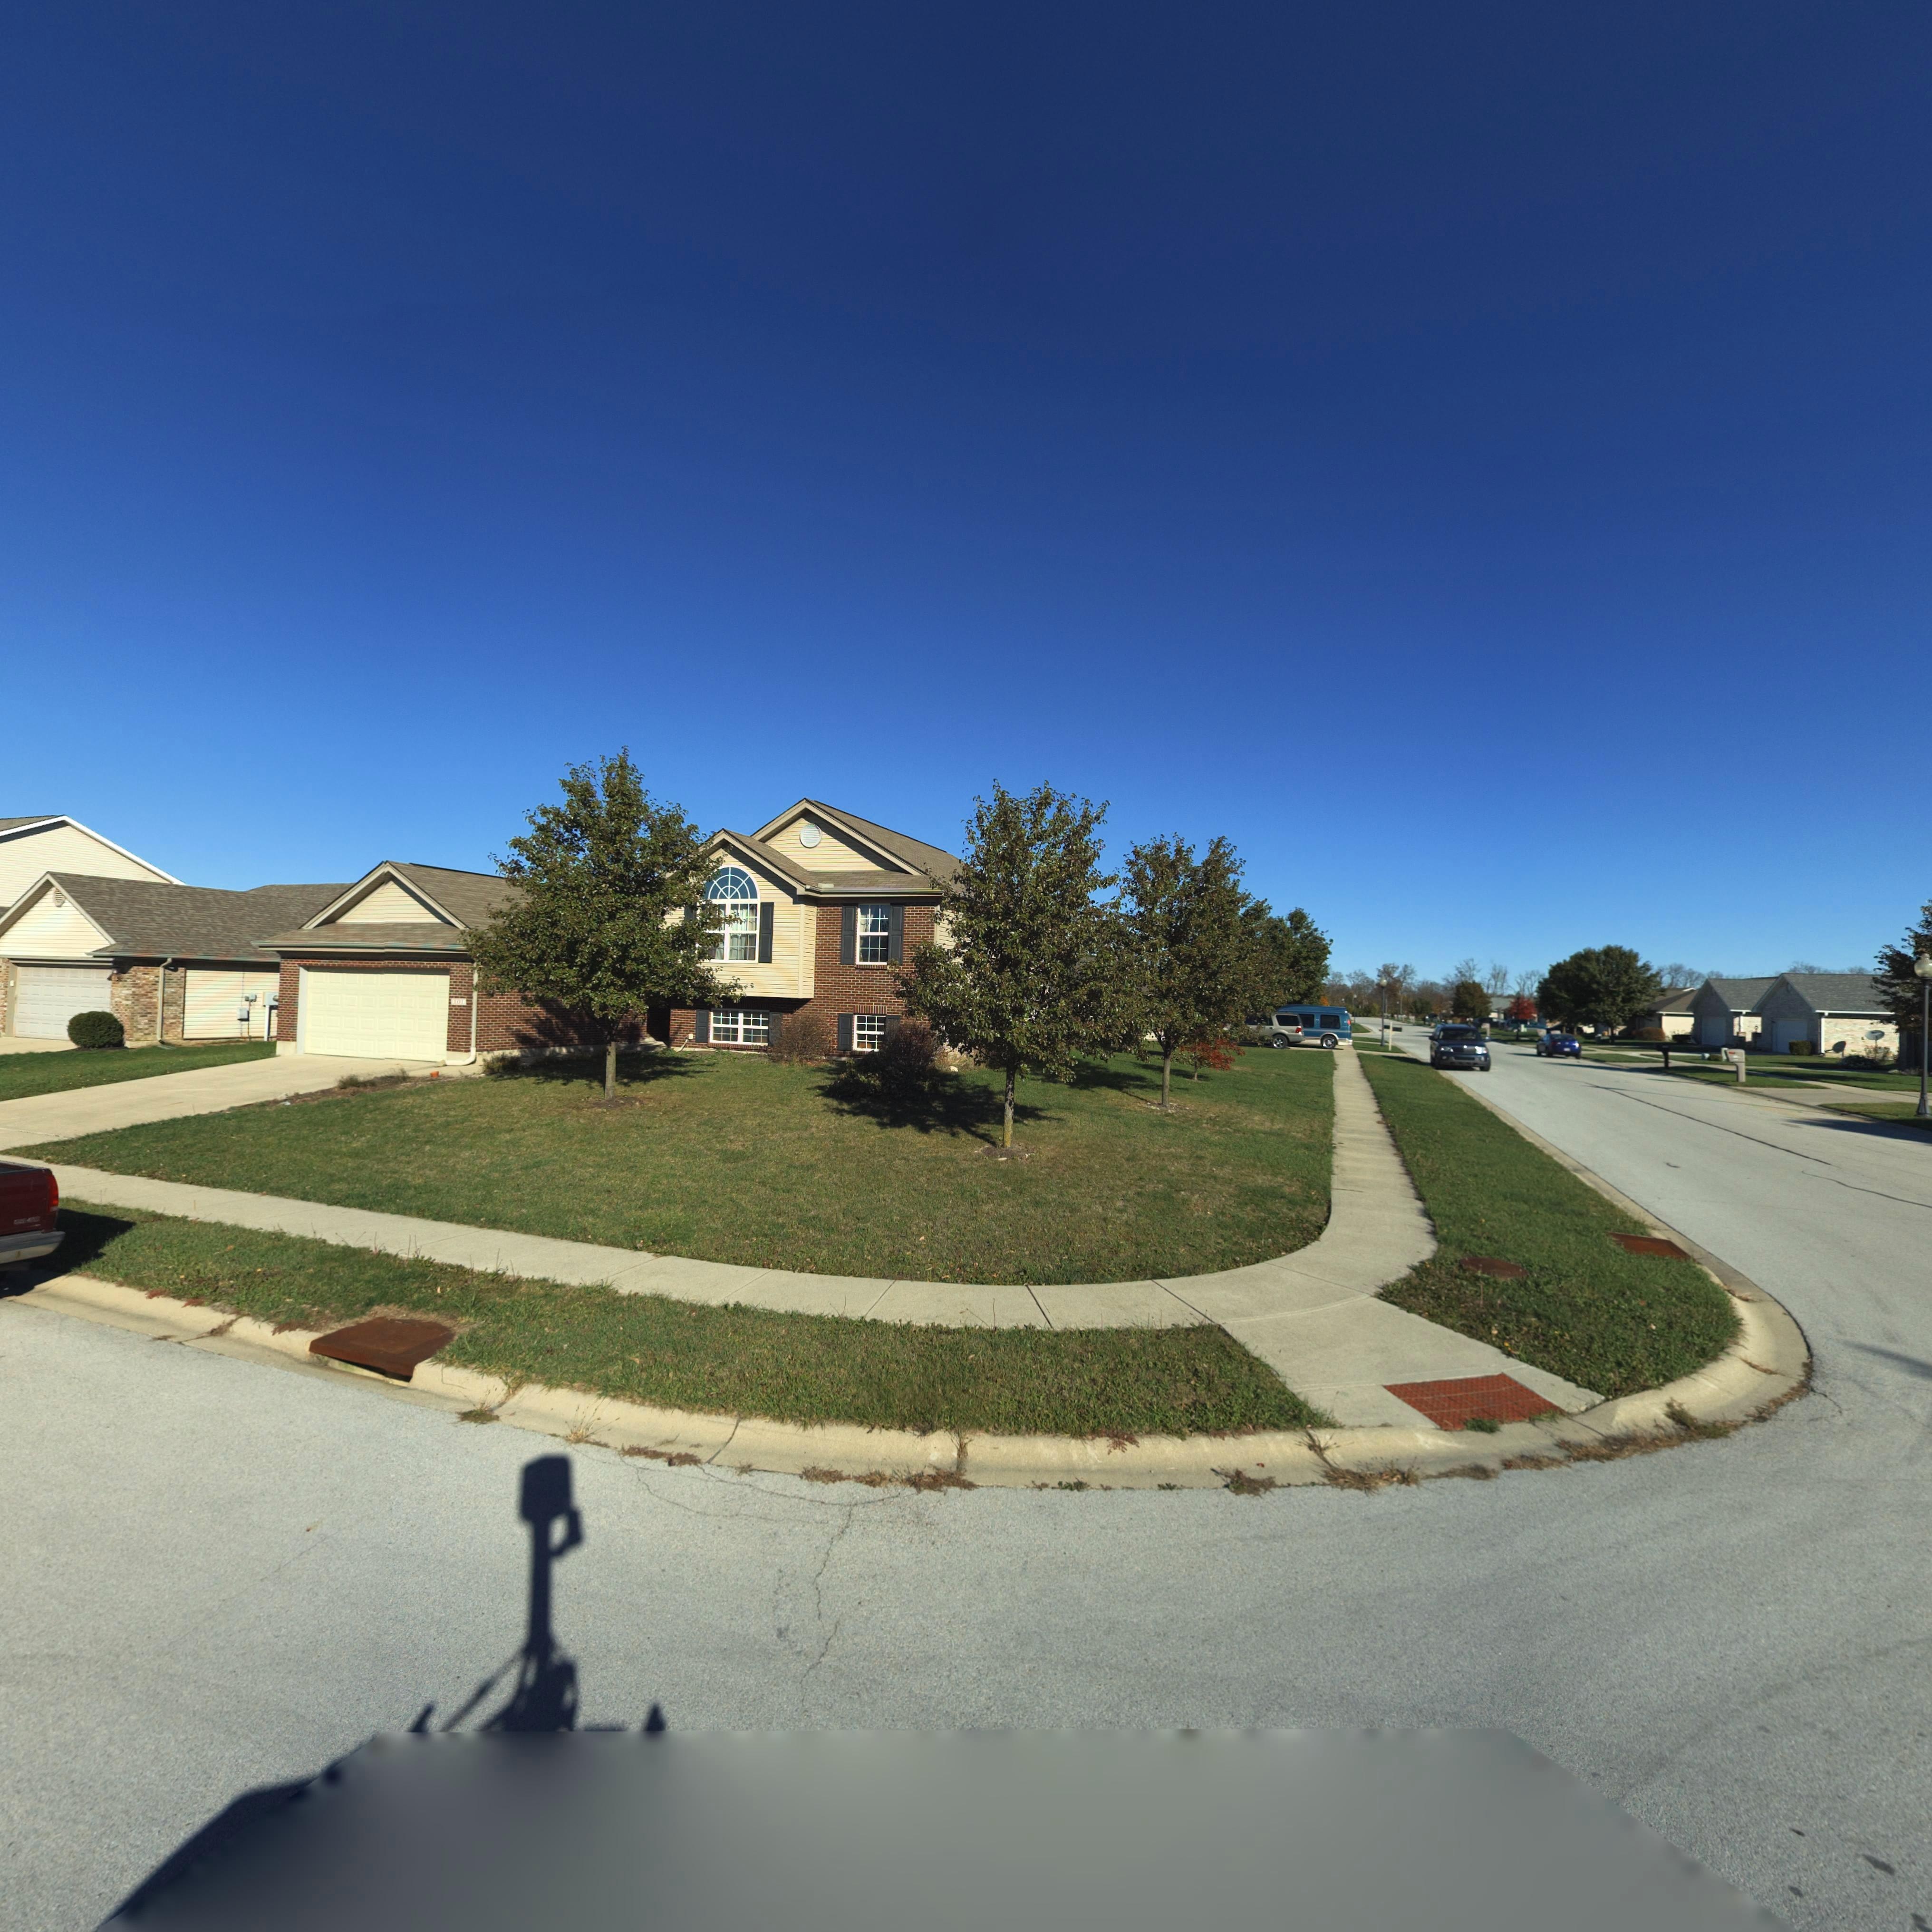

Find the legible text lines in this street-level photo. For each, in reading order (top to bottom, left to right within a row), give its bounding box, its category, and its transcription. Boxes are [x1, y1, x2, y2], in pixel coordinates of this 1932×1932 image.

[453, 998, 464, 1005] StreetNumber: 101